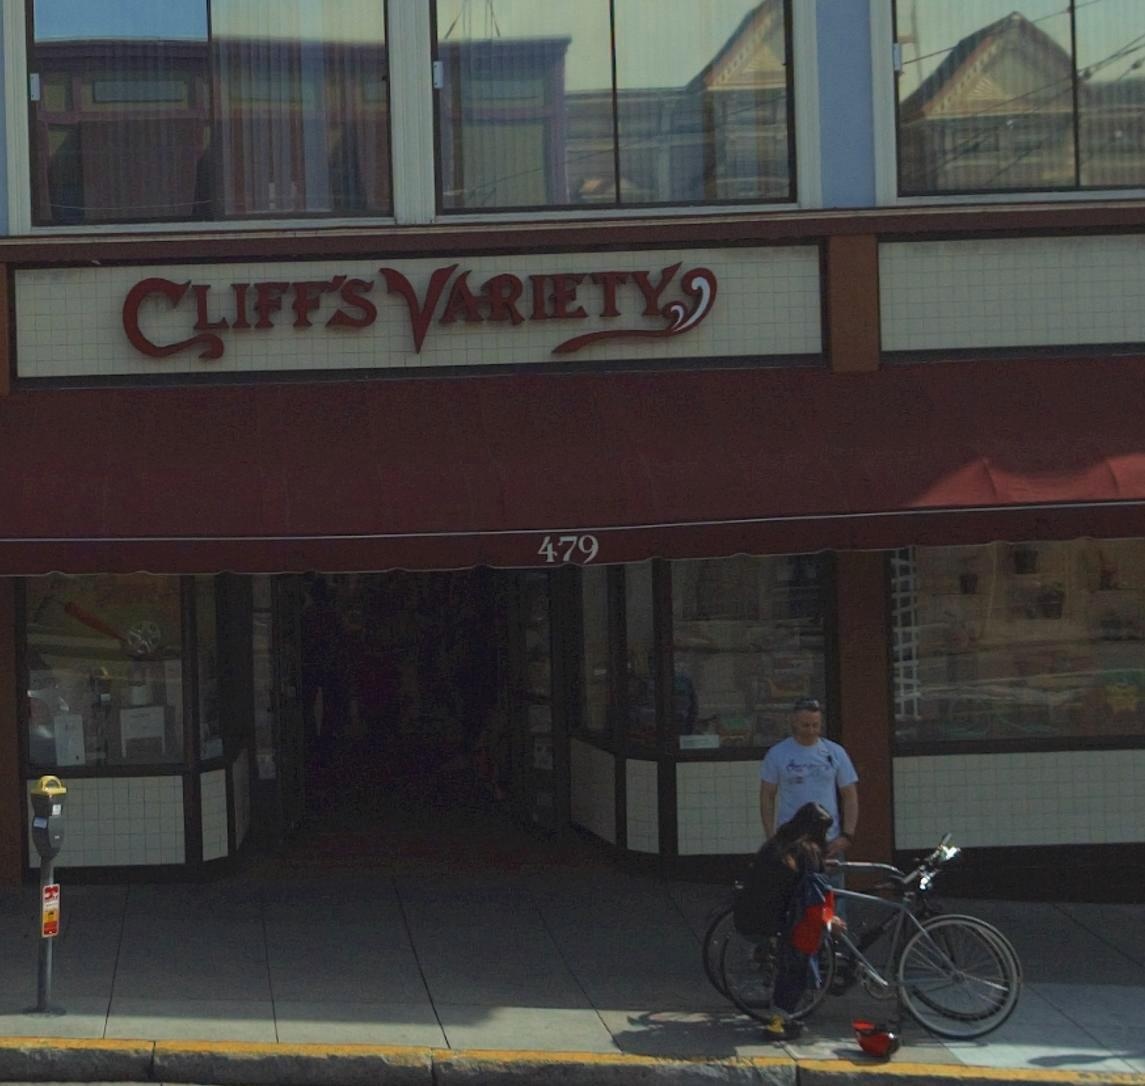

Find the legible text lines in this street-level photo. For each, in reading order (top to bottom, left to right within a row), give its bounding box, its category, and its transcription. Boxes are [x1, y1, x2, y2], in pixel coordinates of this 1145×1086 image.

[117, 257, 692, 361] BusinessName: CLIFF'S VARIETY
[534, 533, 601, 566] StreetNumber: 479